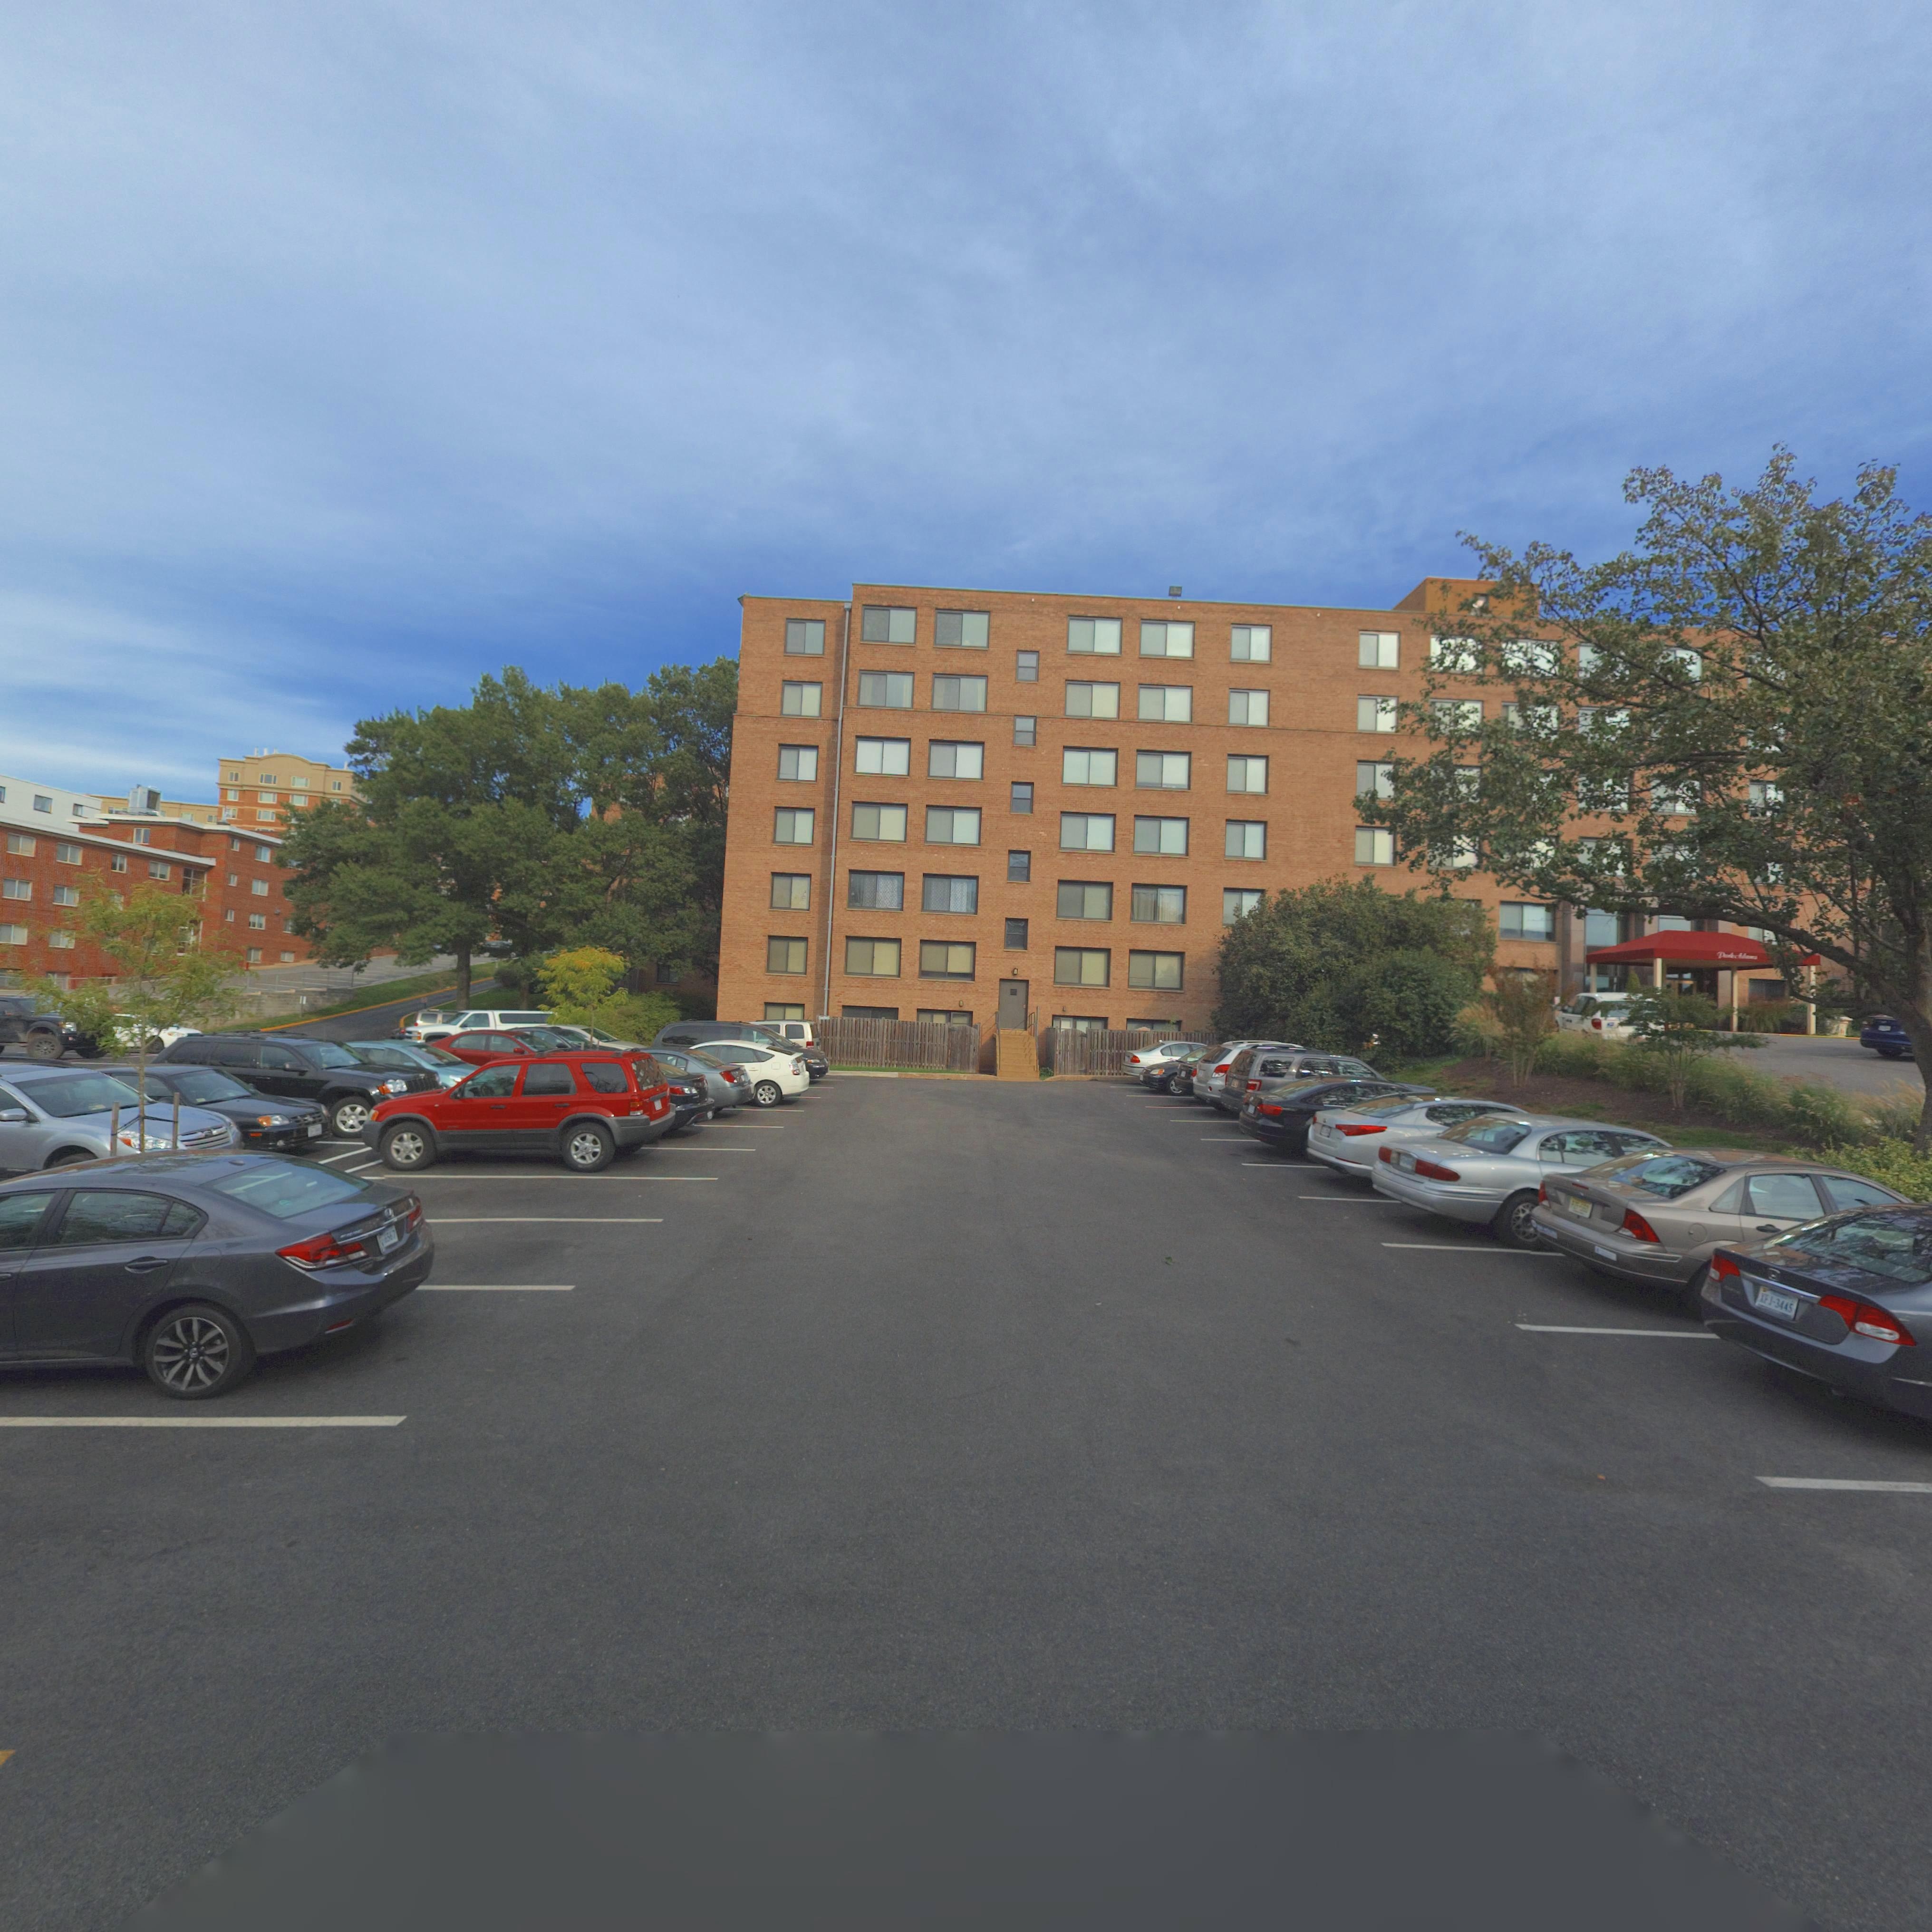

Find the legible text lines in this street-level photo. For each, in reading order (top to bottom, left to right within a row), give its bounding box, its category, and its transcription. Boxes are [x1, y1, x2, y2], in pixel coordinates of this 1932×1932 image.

[1717, 951, 1726, 960] None: P
[1577, 1202, 1591, 1215] None: 560
[391, 1228, 397, 1240] None: 7
[1759, 1292, 1795, 1314] None: XFJ-3445